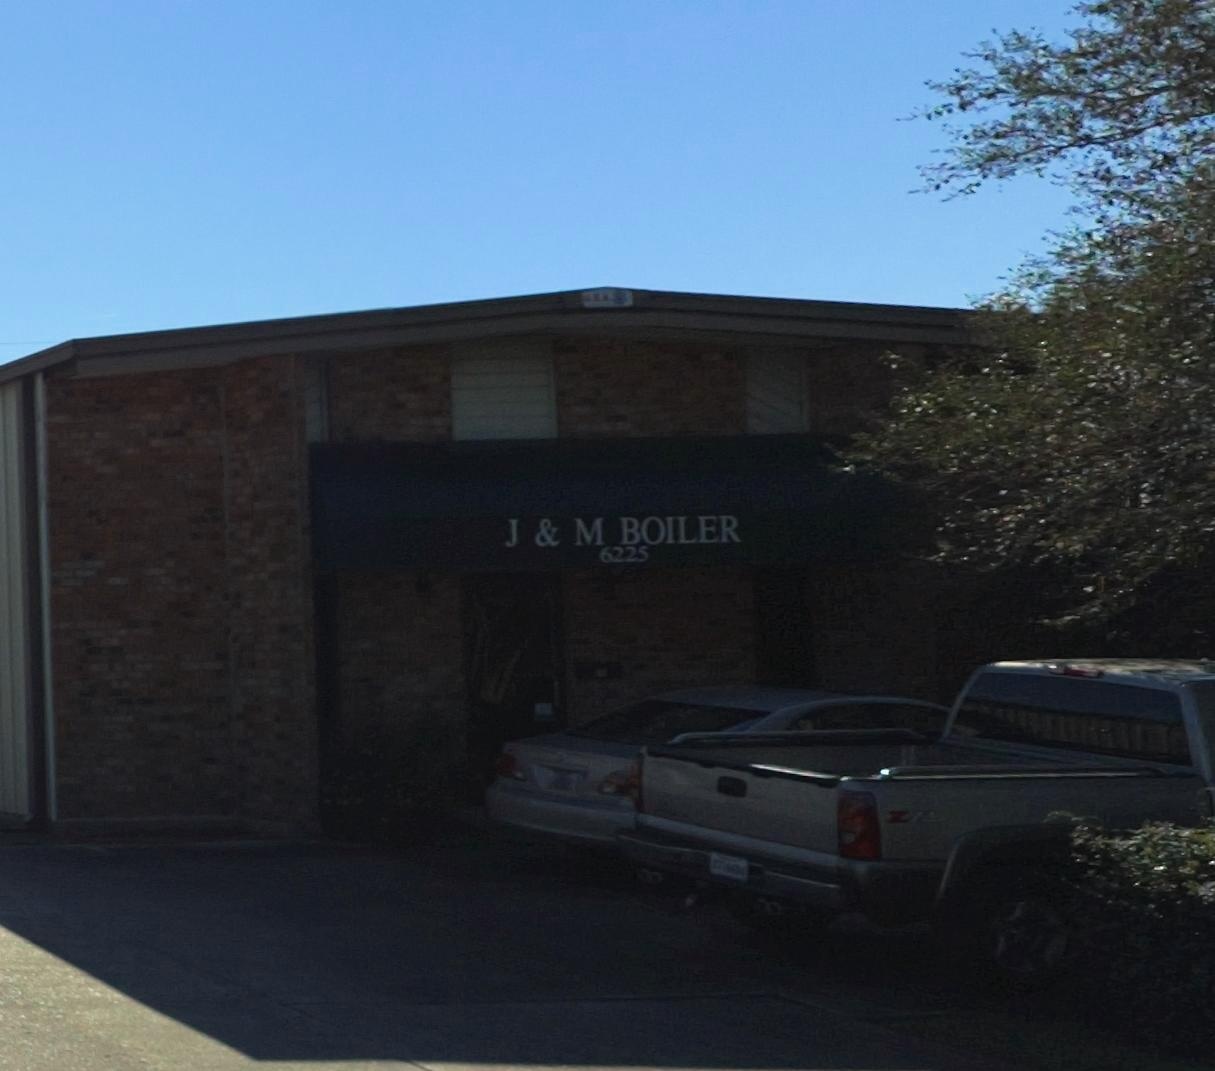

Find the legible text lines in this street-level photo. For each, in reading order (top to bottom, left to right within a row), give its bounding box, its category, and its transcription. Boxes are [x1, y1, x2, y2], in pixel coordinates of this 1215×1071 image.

[500, 513, 746, 550] BusinessName: J & M BOILER
[593, 543, 653, 566] BusinessName: 6225